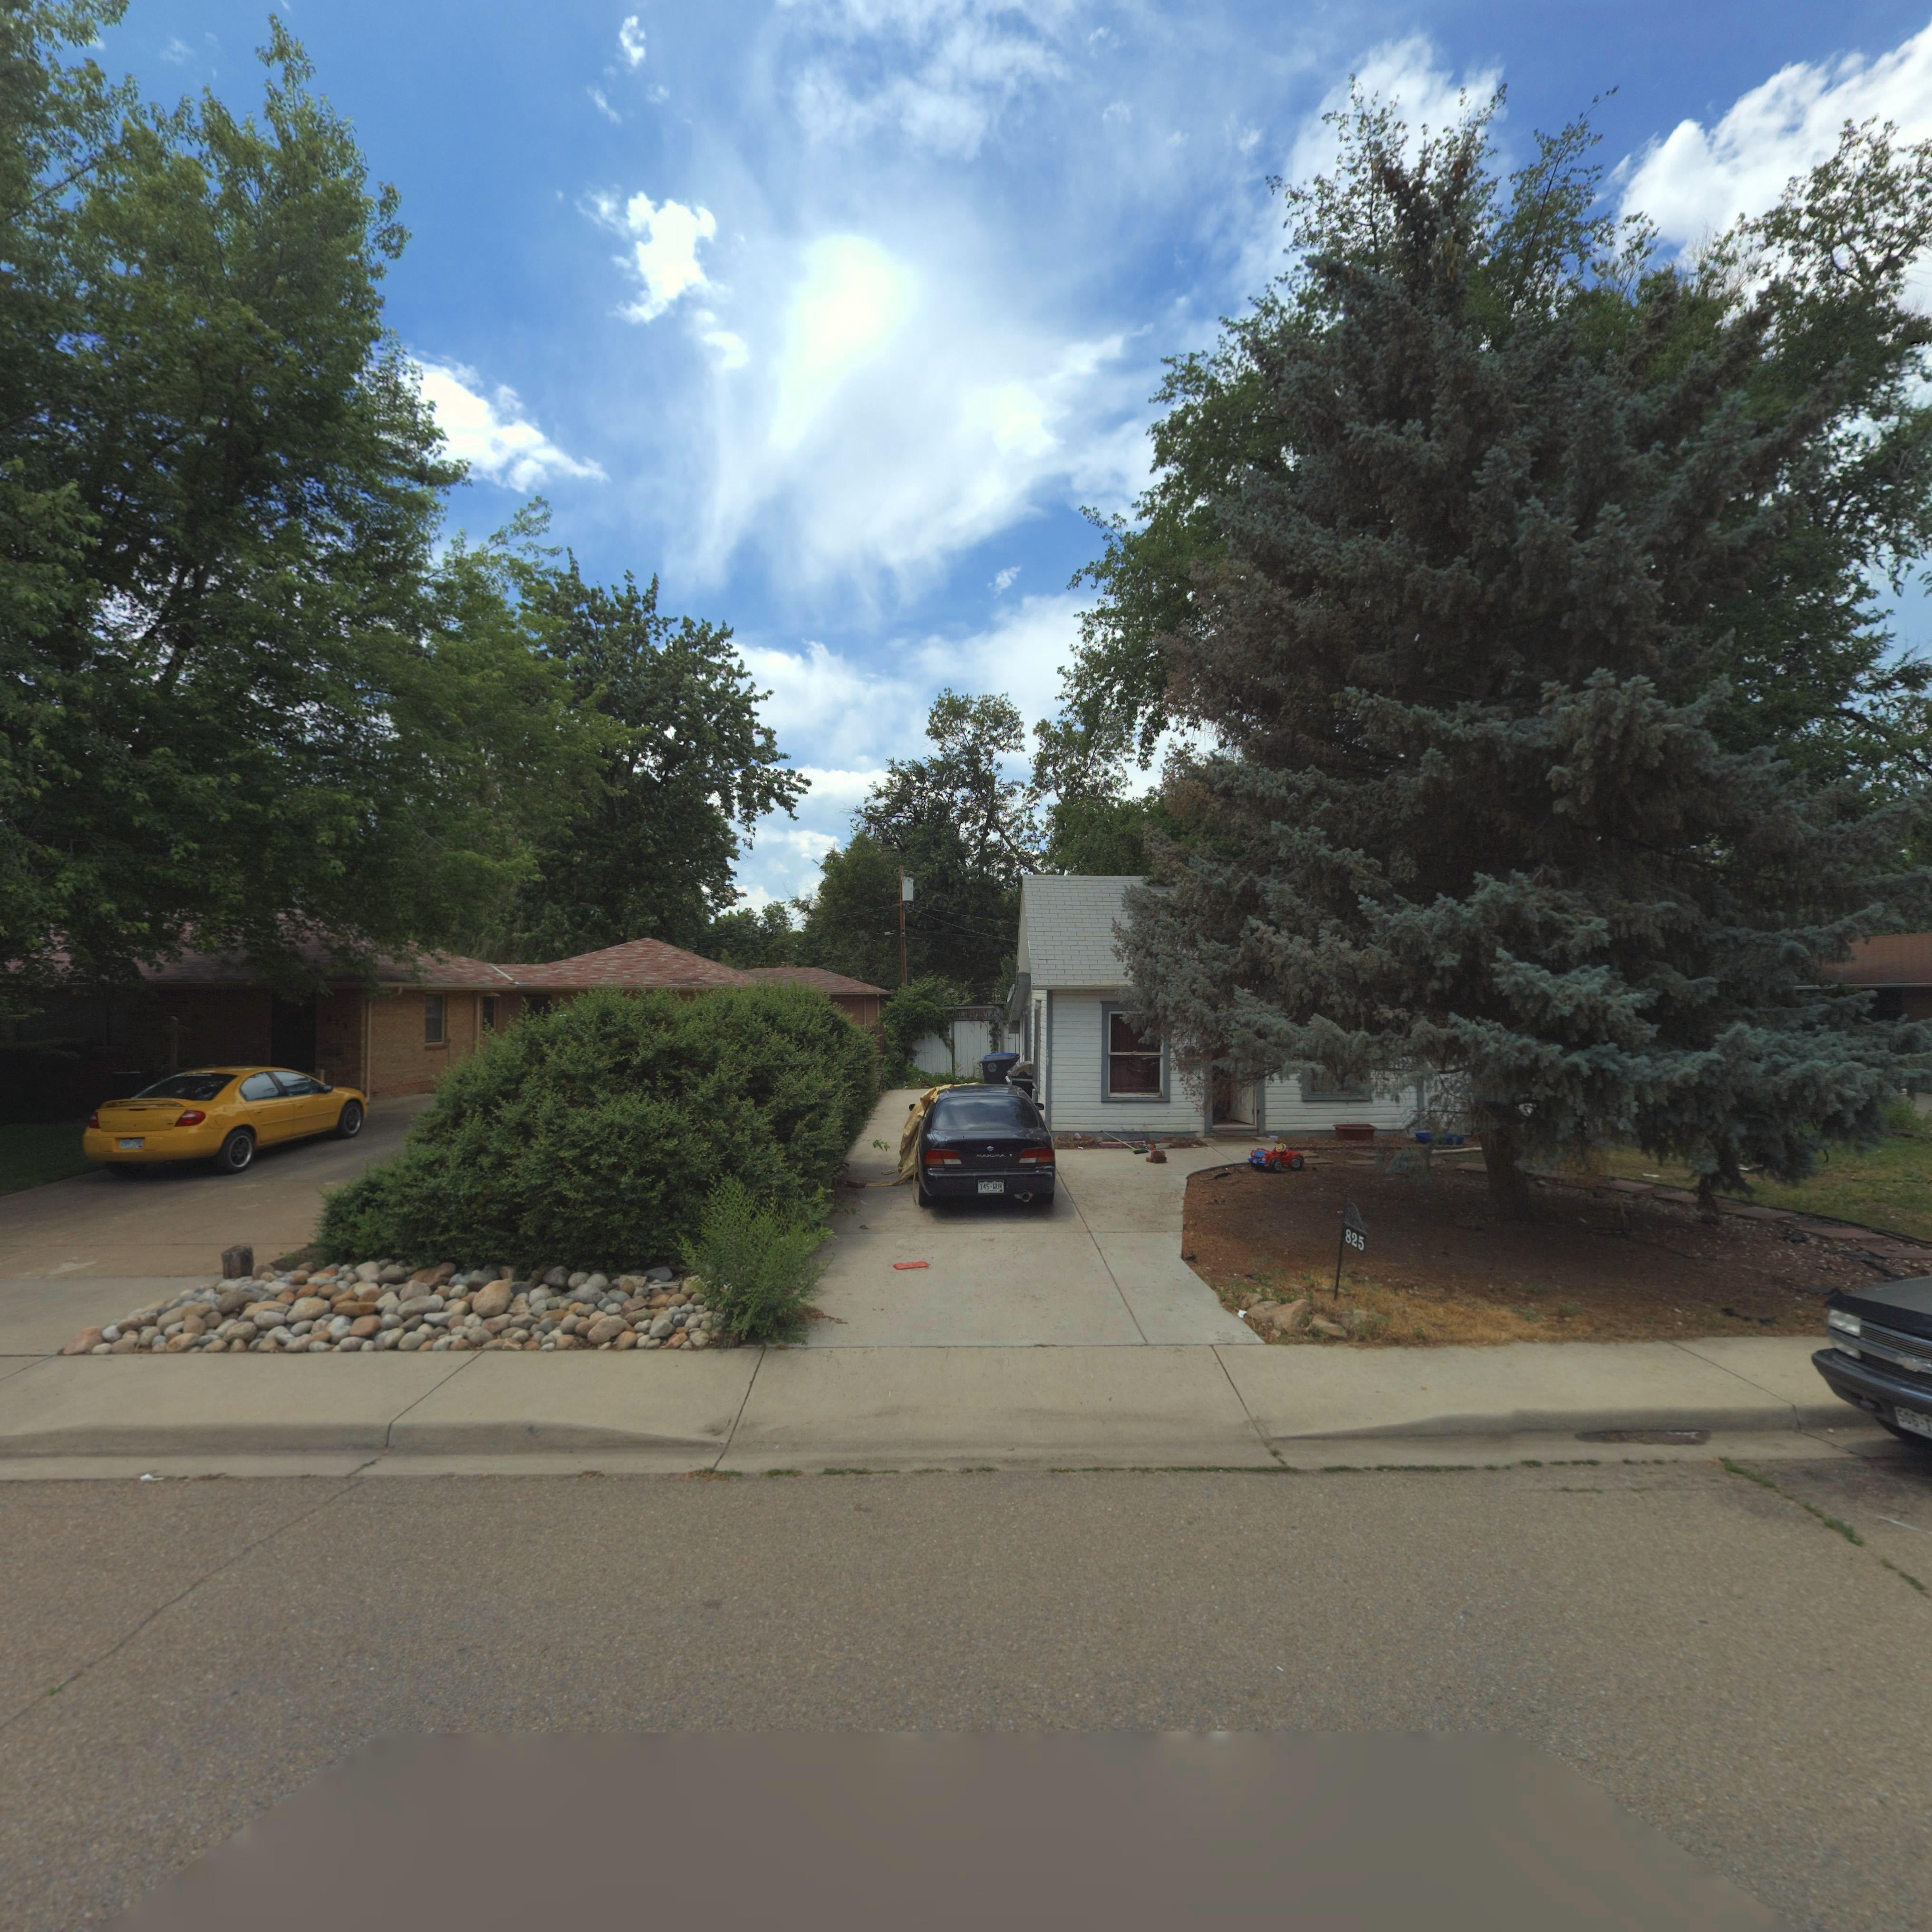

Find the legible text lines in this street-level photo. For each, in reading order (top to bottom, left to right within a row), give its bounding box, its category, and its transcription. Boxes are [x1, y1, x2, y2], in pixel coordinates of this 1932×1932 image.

[327, 1013, 348, 1030] StreetNumber: *23
[1344, 1227, 1365, 1252] StreetNumber: 825